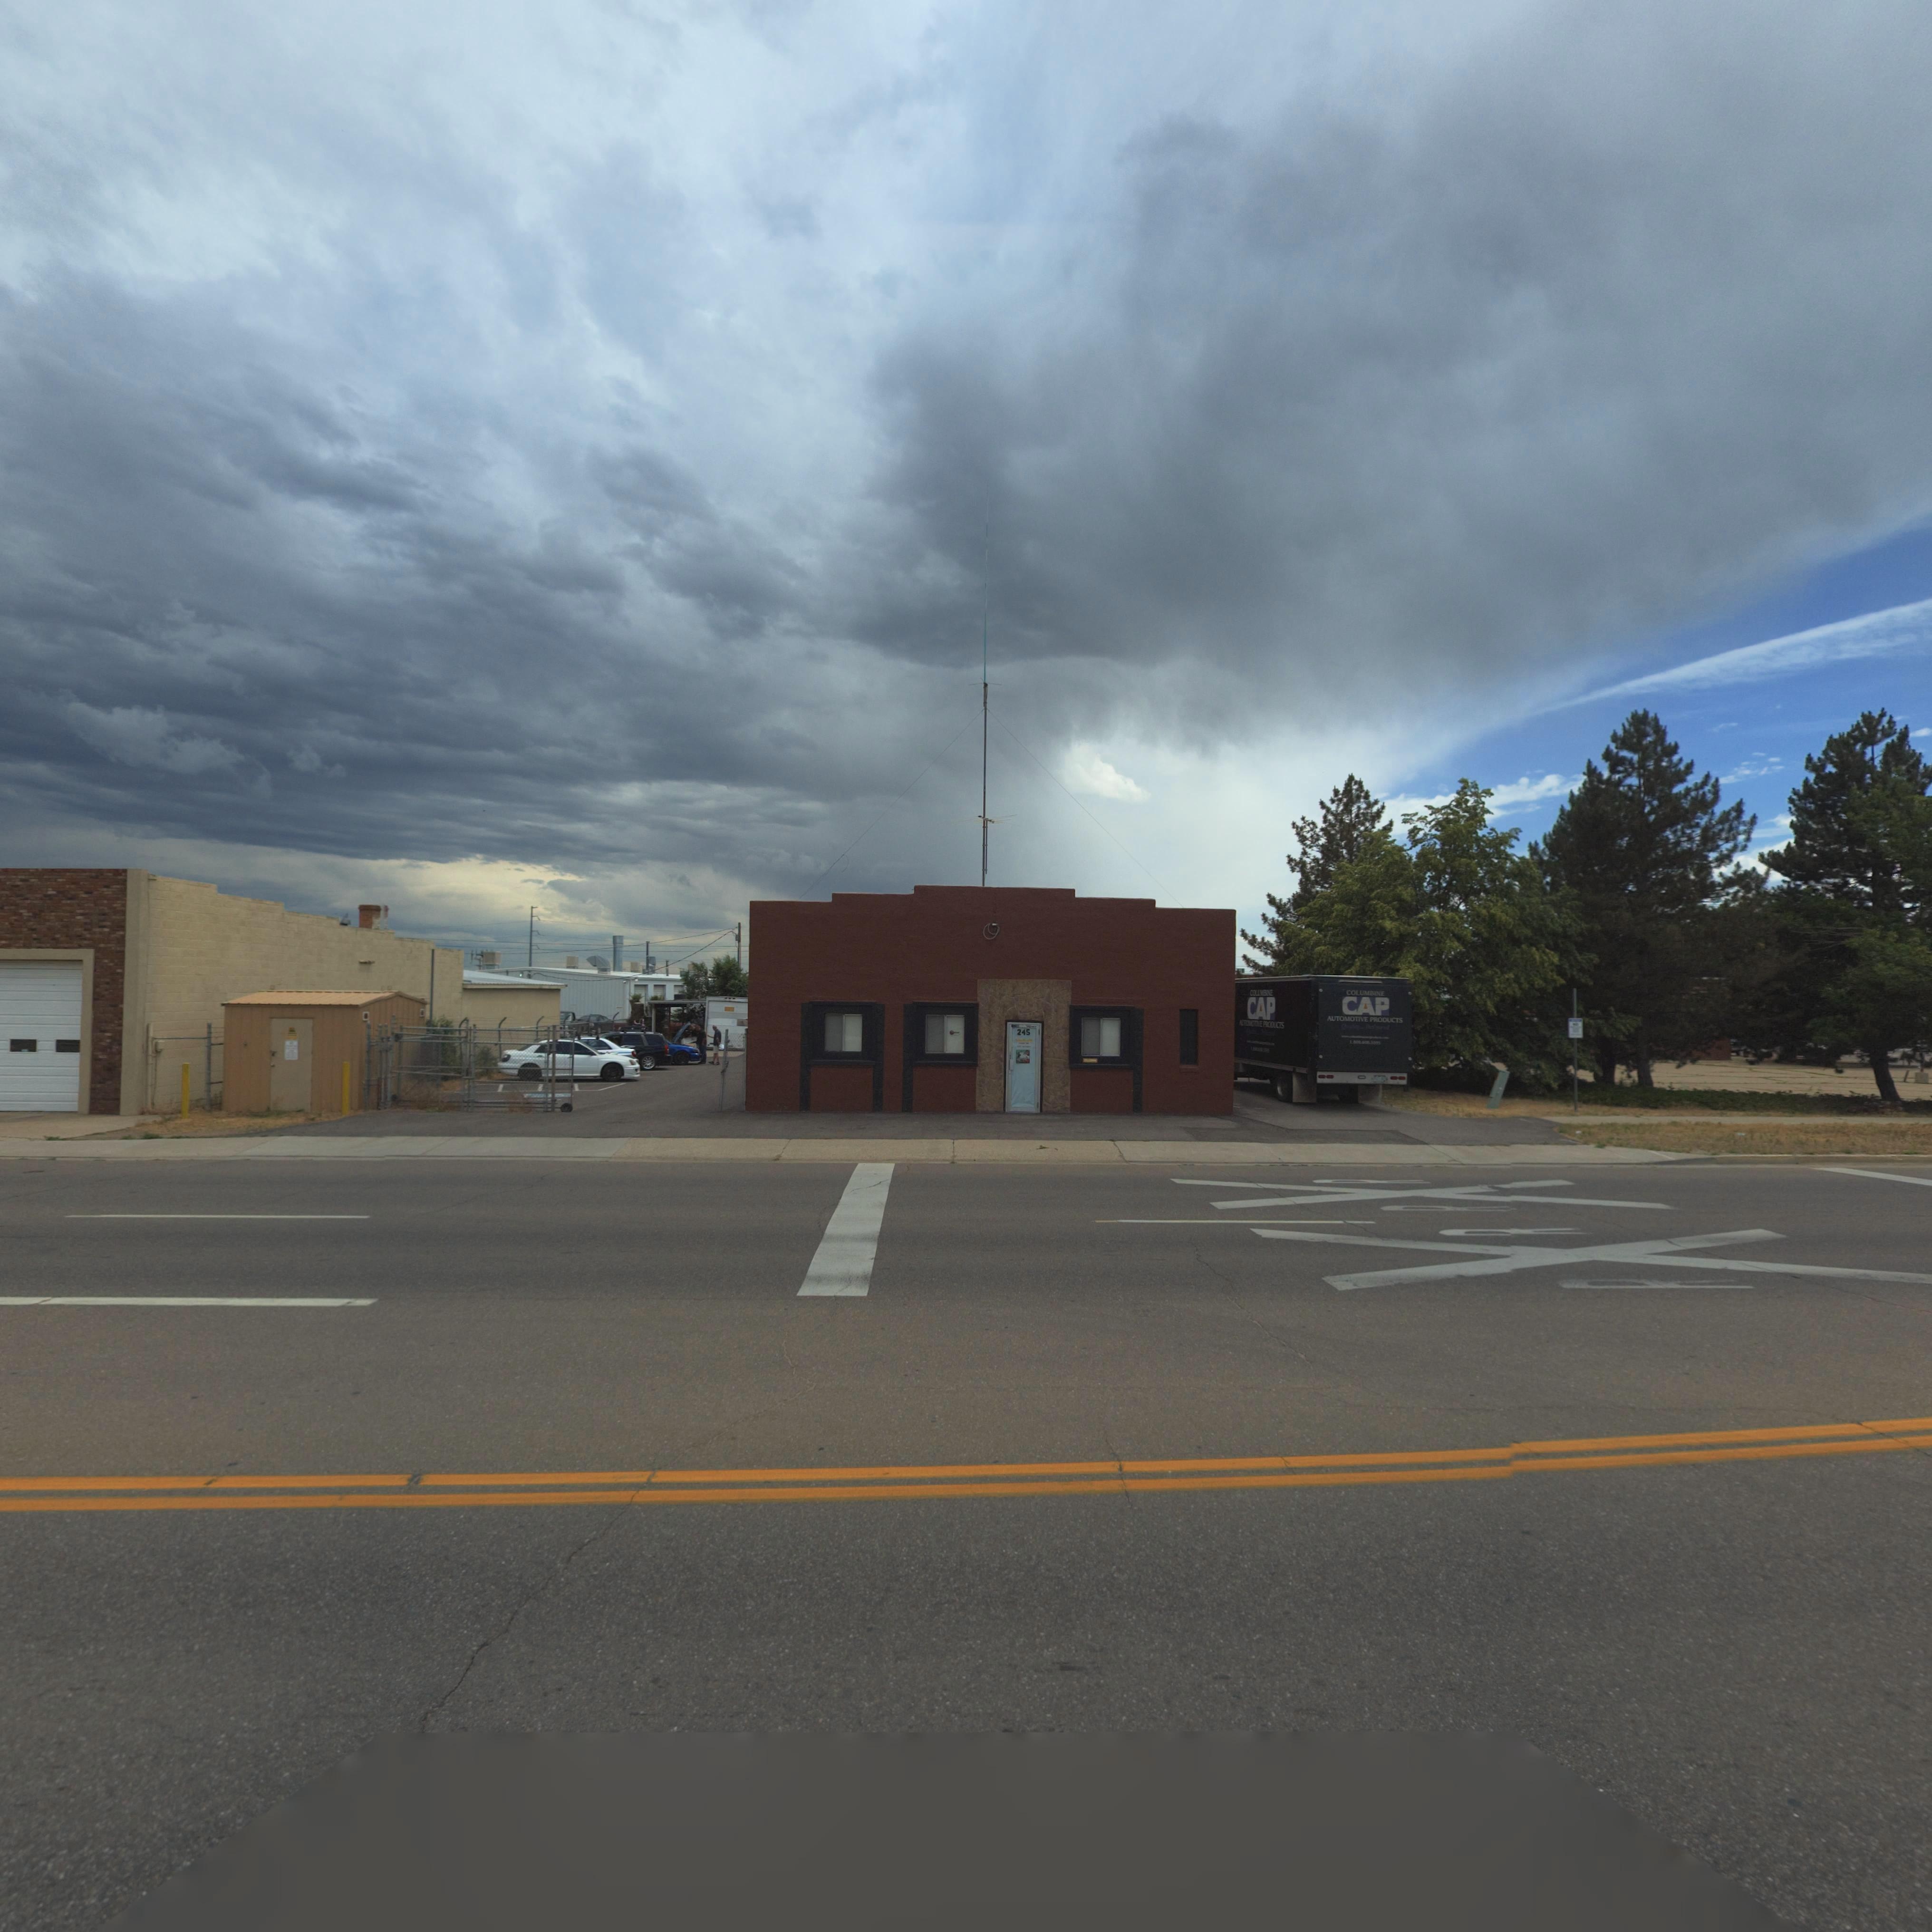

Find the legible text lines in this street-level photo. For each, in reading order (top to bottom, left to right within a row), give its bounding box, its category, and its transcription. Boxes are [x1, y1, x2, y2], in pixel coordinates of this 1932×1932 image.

[1016, 1028, 1030, 1035] StreetNumber: 245